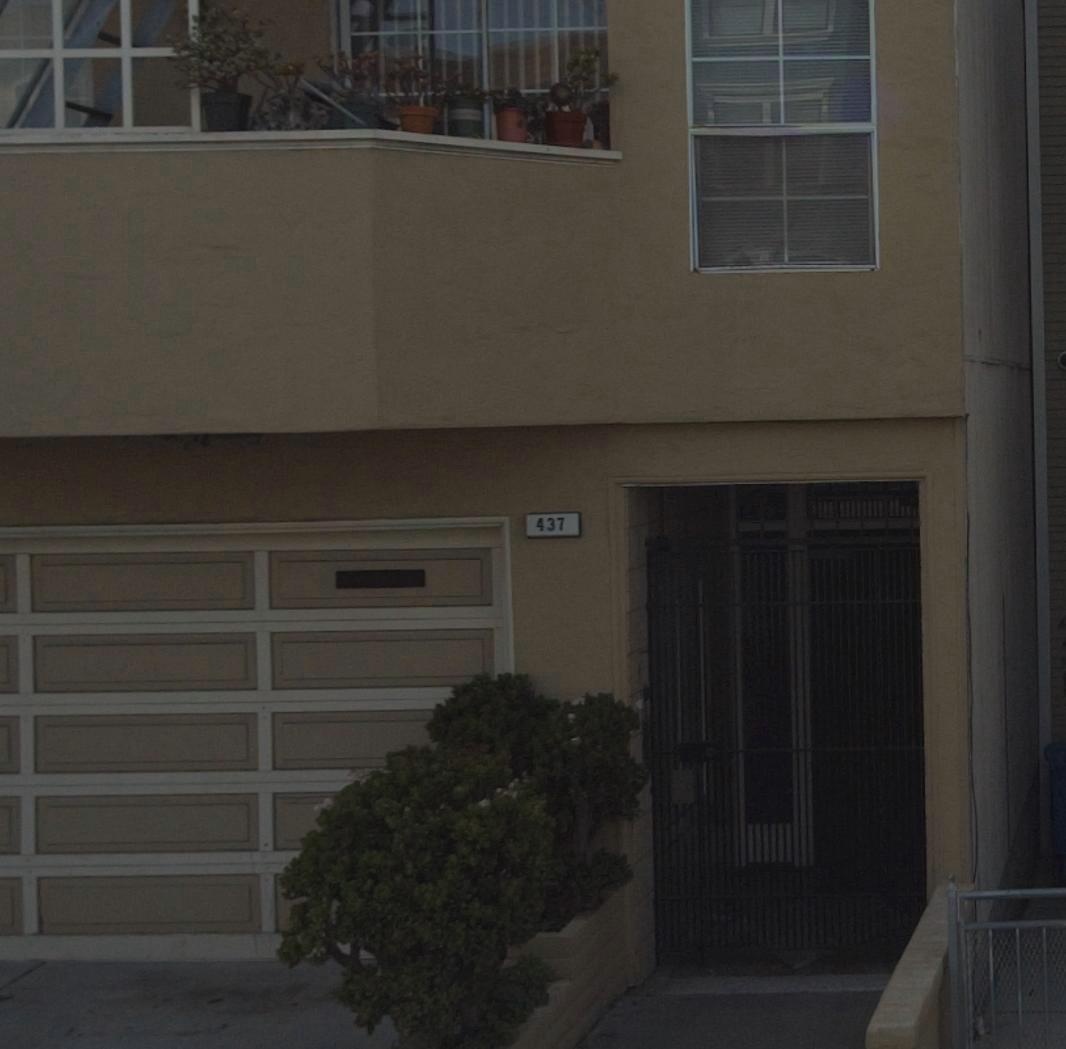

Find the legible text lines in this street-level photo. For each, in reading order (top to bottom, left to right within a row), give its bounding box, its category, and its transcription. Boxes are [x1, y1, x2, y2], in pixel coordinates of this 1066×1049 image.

[536, 517, 566, 532] StreetNumber: 437